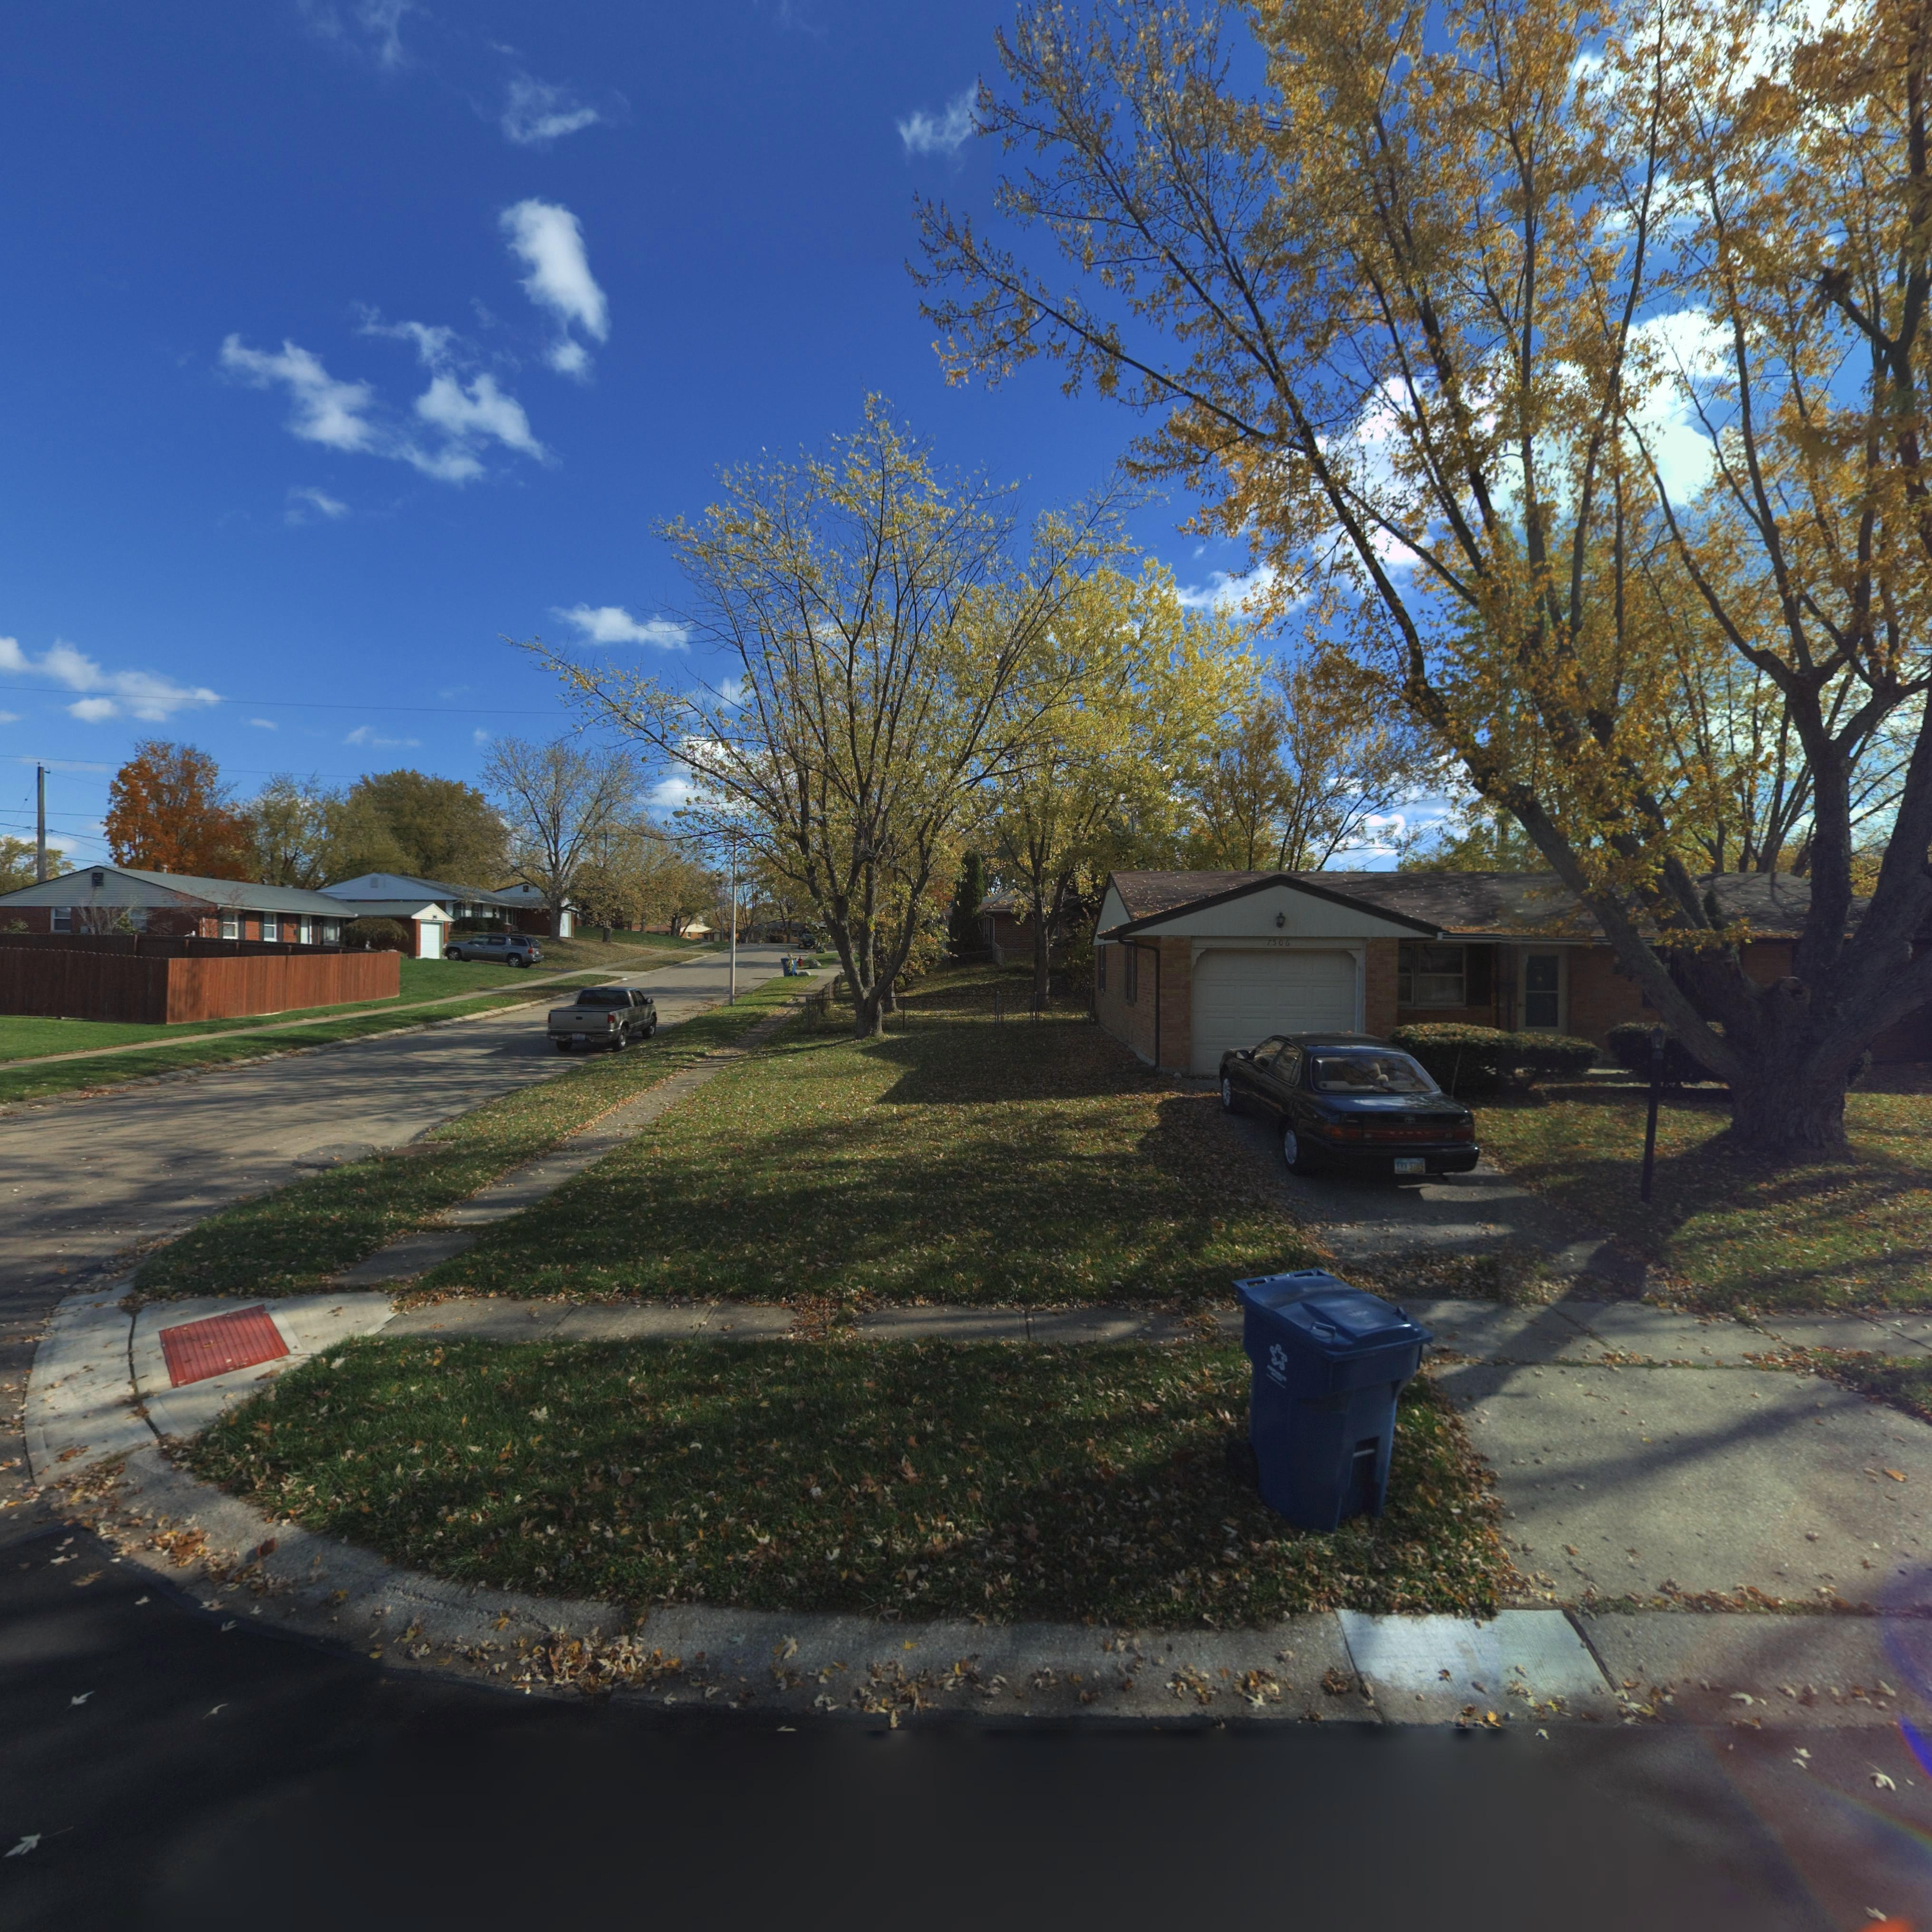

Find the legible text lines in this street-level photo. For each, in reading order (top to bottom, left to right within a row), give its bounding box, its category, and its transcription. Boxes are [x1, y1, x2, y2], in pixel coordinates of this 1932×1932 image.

[1266, 938, 1290, 947] StreetNumber: 7506